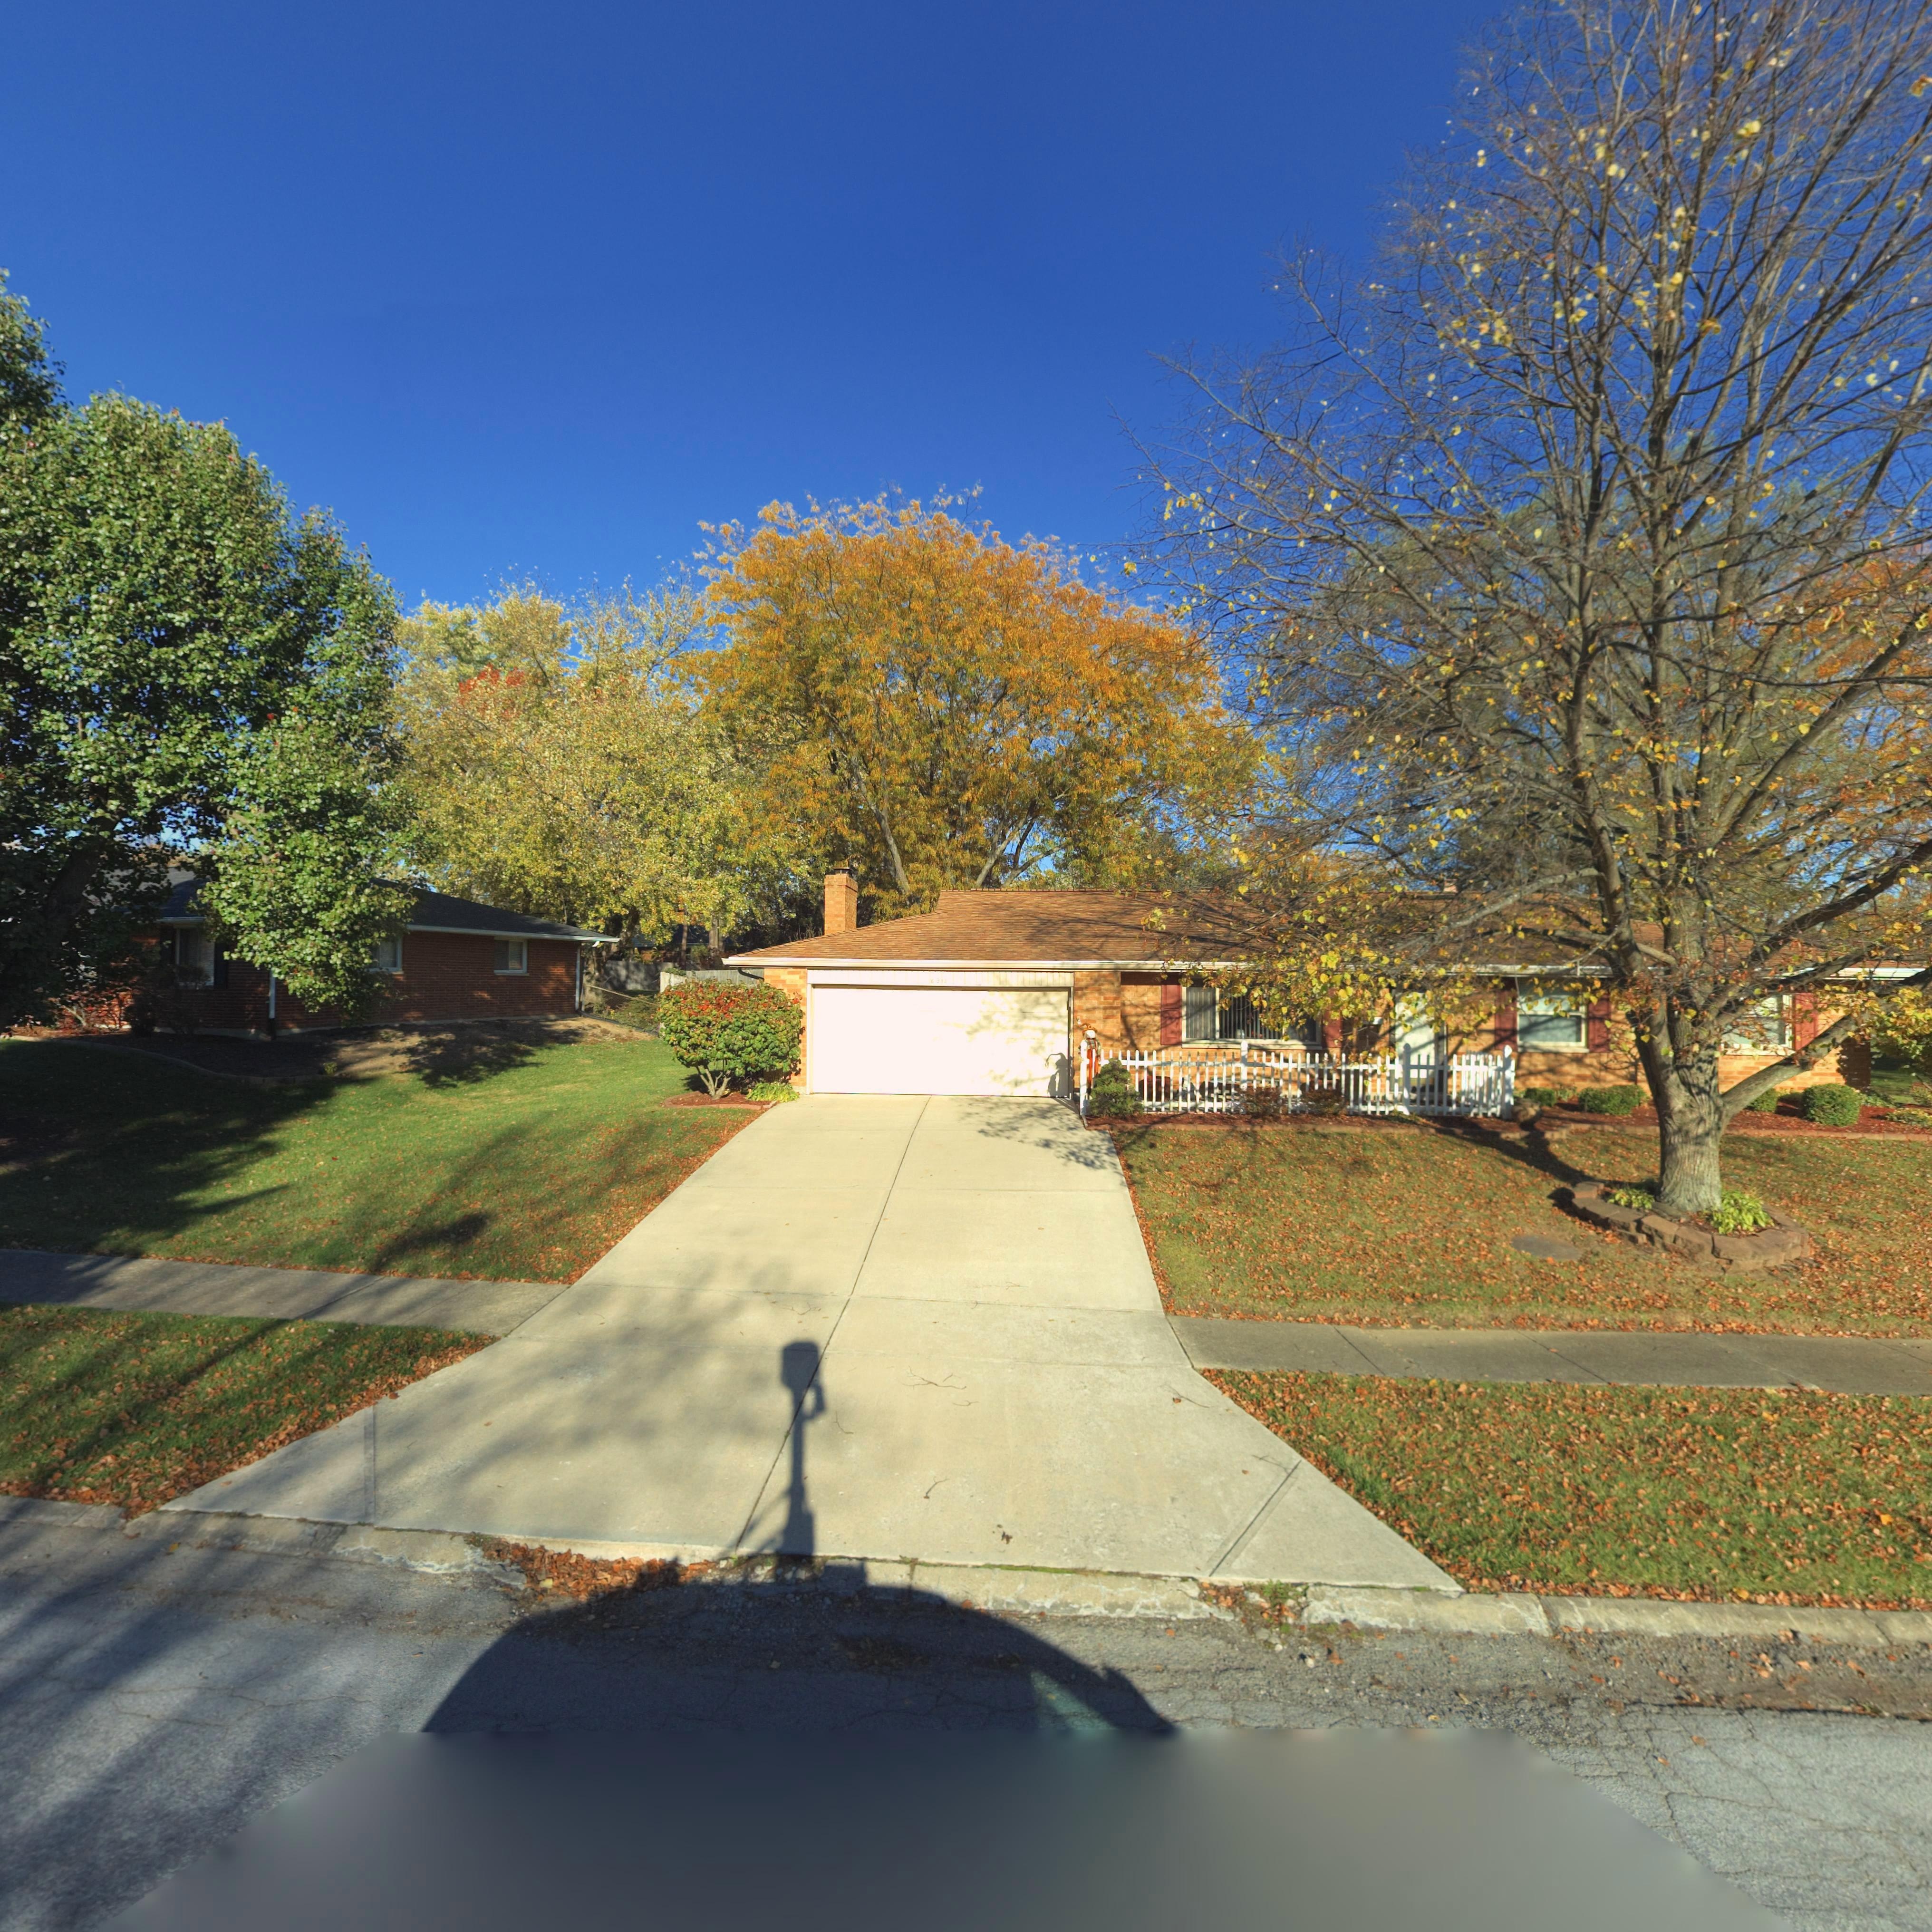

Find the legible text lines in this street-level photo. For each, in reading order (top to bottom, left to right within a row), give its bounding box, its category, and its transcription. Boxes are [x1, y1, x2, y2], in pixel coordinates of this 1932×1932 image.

[930, 977, 947, 984] StreetNumber: 6914